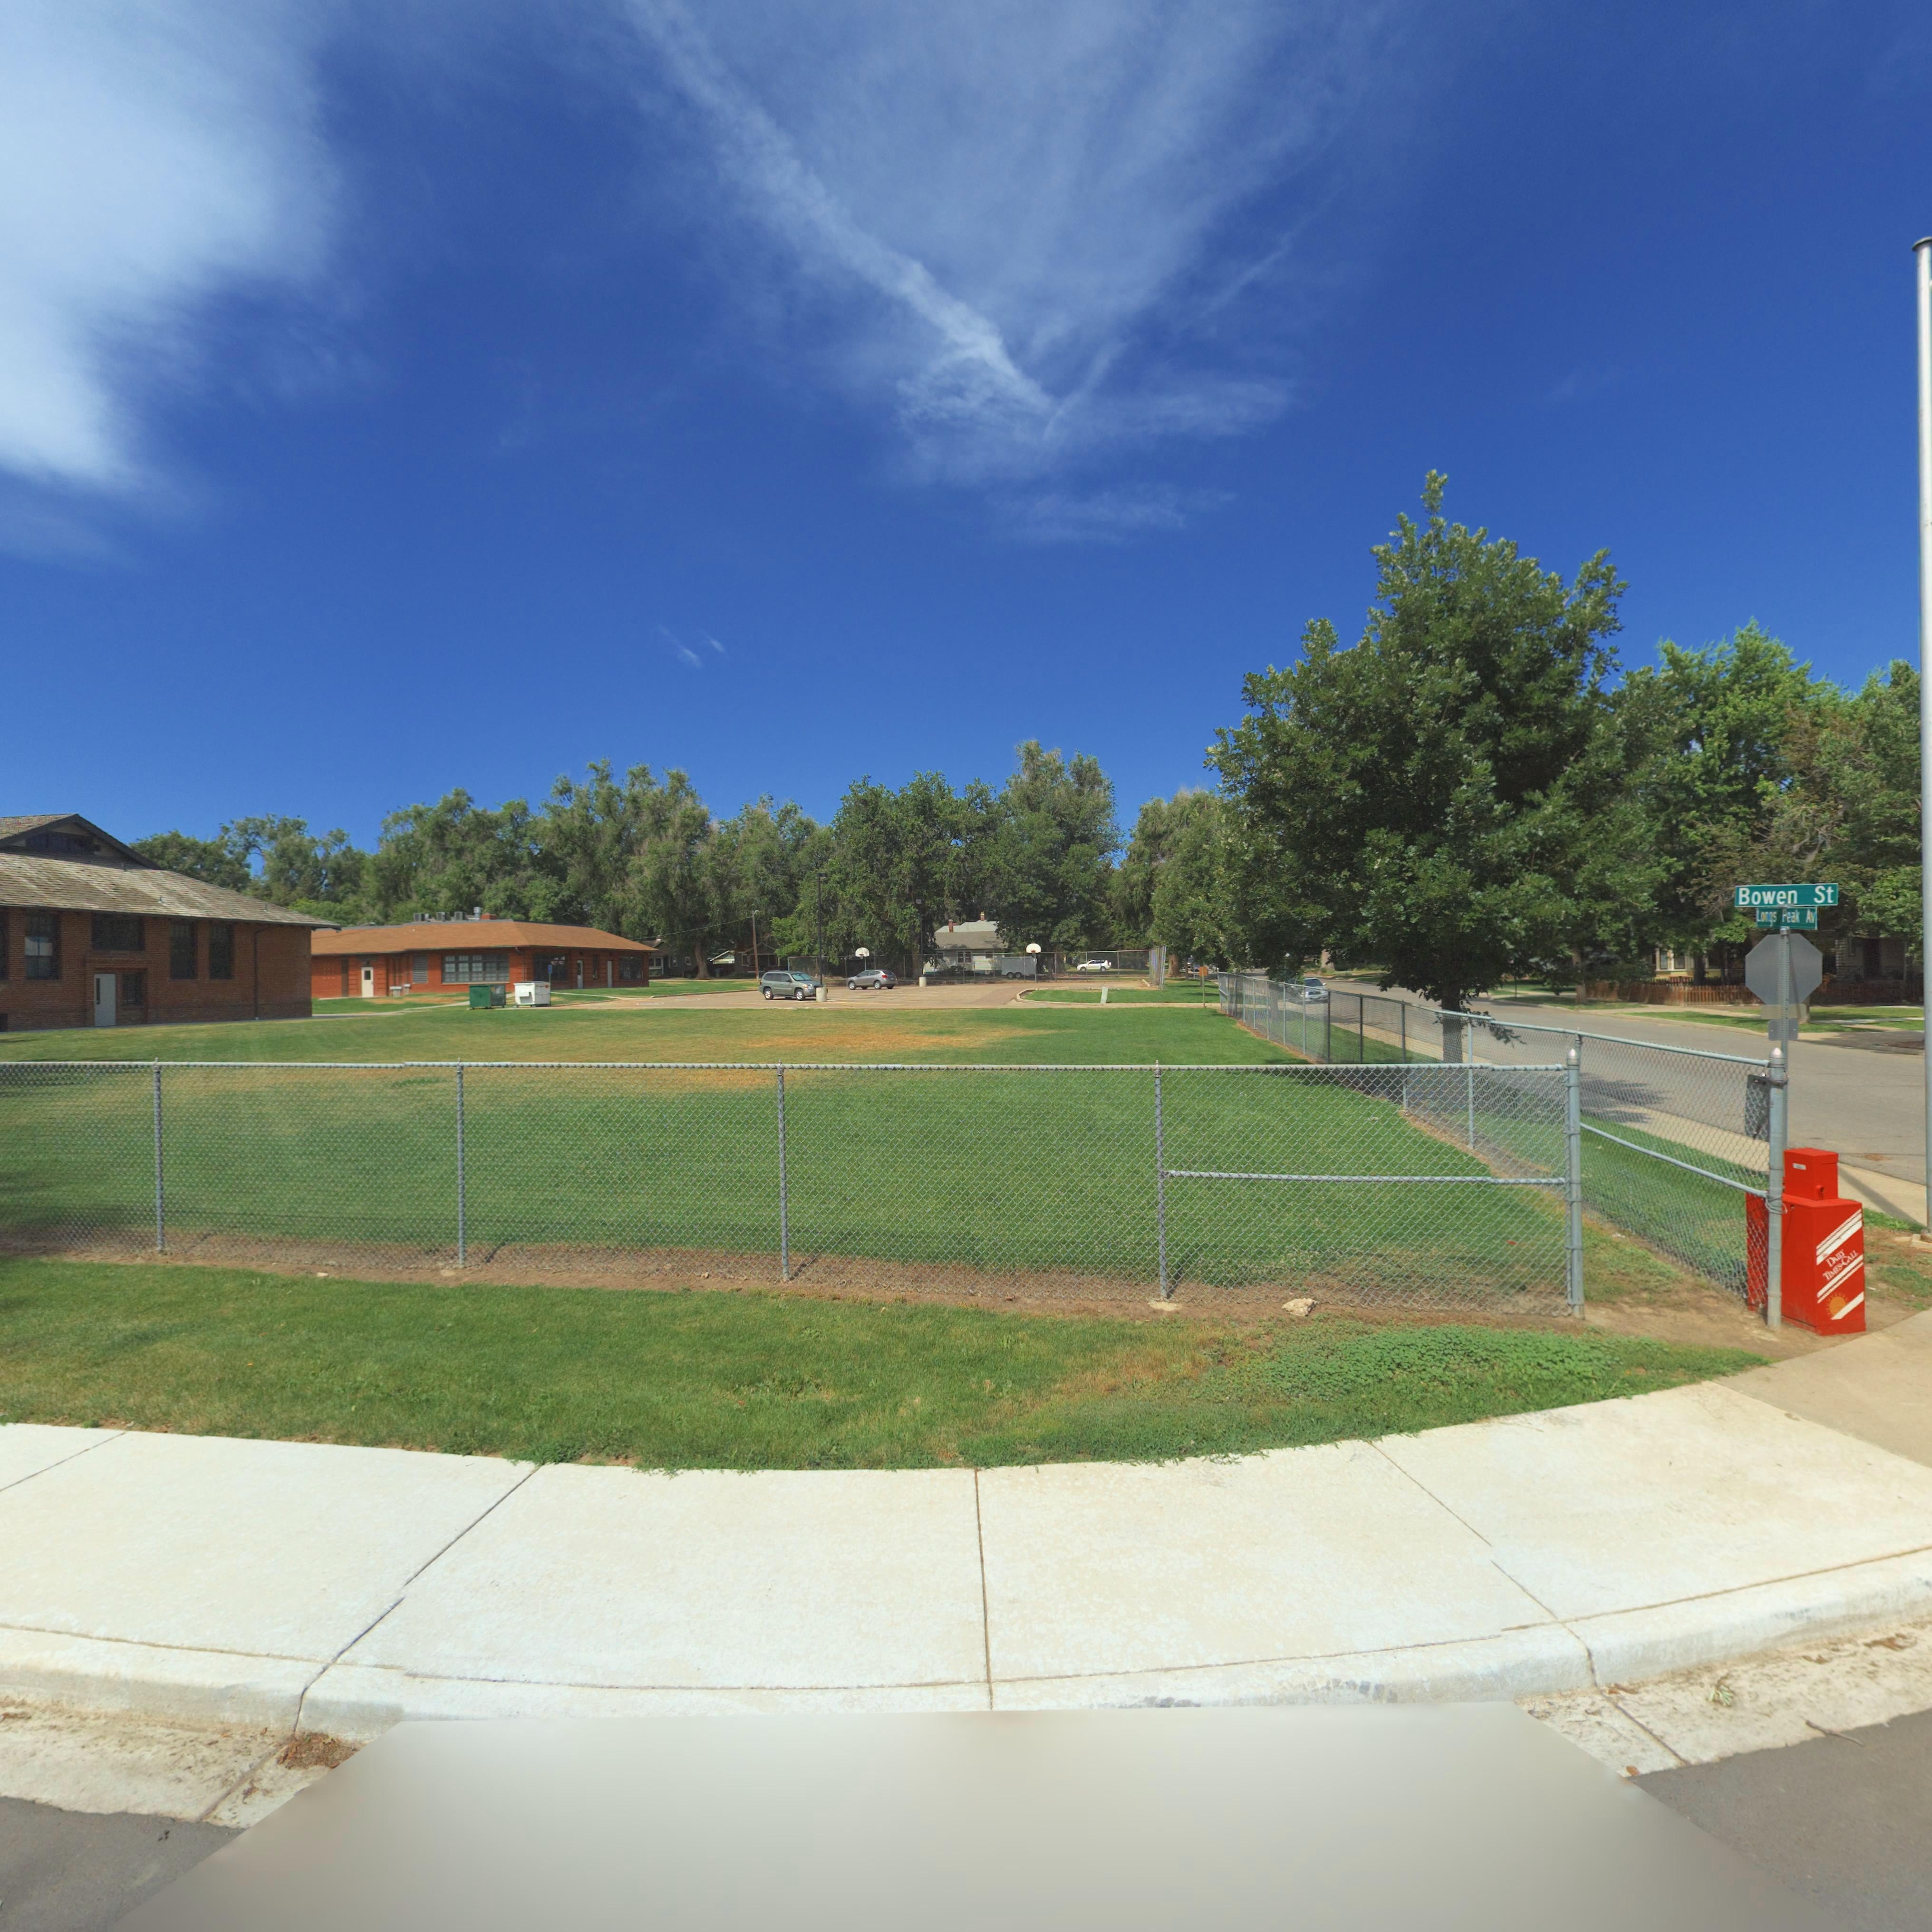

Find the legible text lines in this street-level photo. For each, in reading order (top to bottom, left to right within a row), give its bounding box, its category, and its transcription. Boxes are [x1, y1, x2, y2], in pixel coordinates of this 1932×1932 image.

[1737, 885, 1835, 905] StreetName: Bowen St
[1756, 908, 1816, 927] StreetName: Longs Peak Av